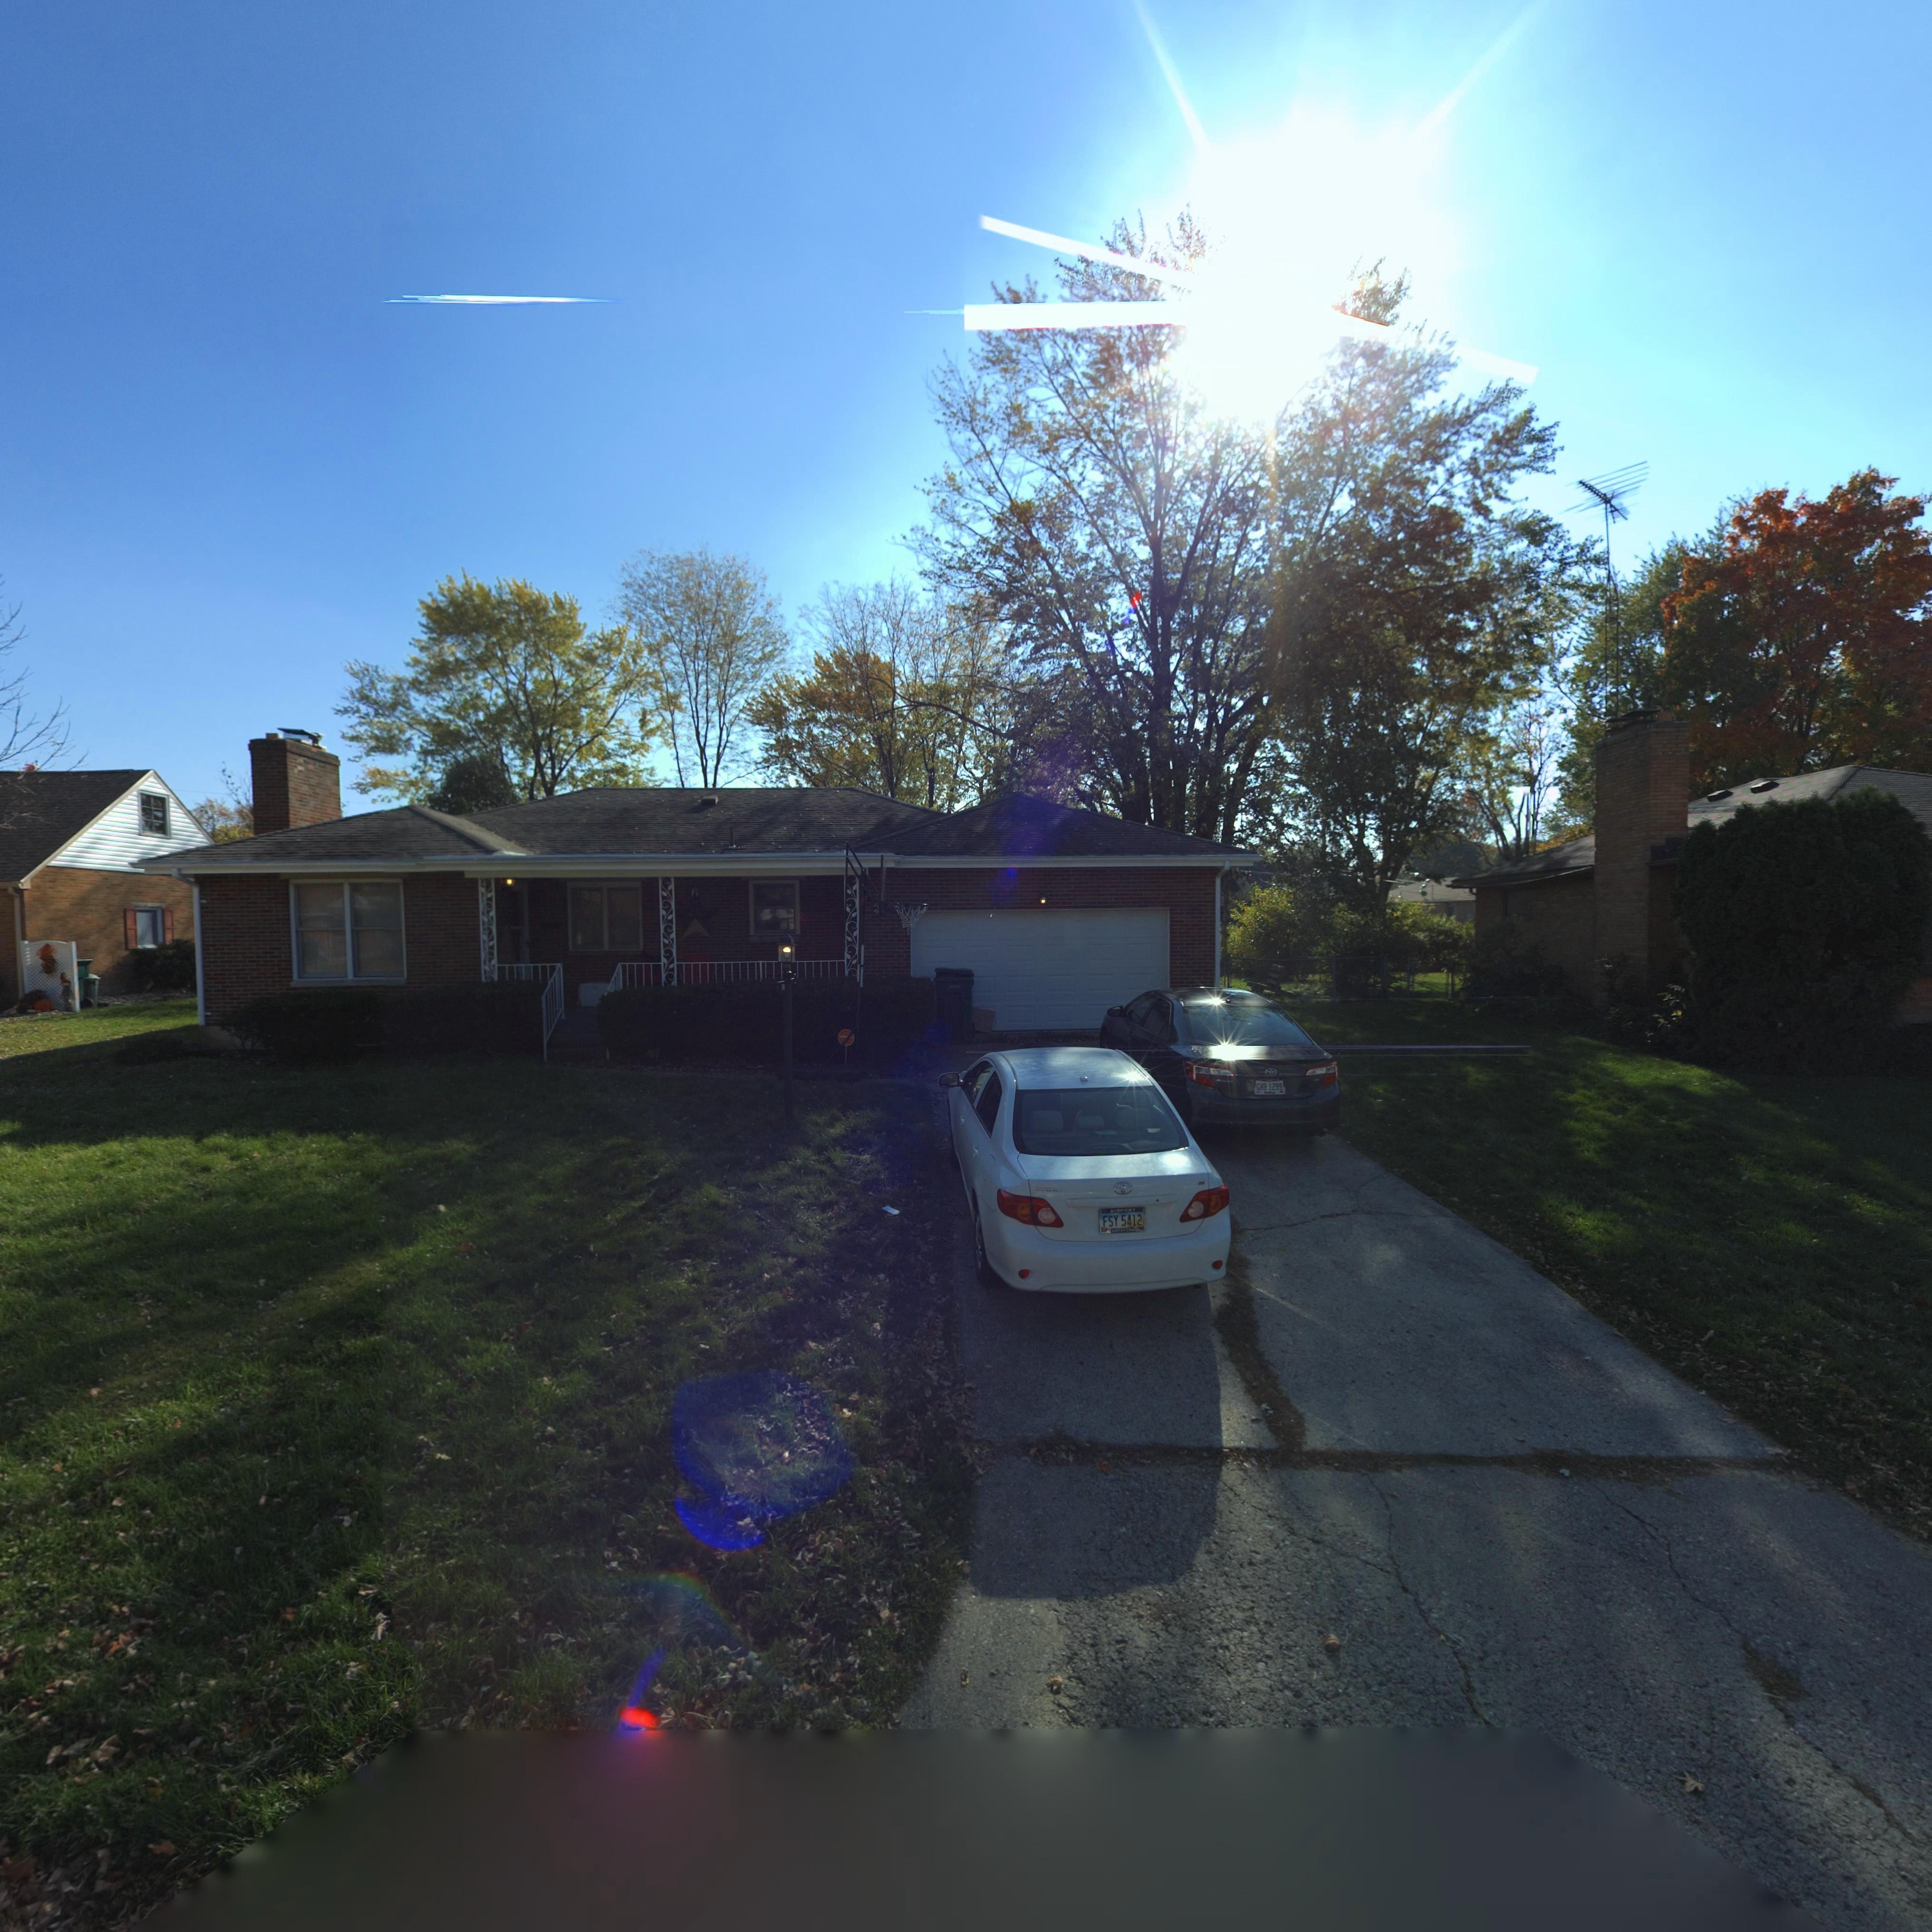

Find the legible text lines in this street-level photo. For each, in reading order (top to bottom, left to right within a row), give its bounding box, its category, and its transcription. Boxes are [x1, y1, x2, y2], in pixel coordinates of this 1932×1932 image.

[1256, 1082, 1283, 1091] None: GHB*1299
[1109, 1208, 1136, 1213] None: AIRPORT
[1102, 1214, 1142, 1227] None: FSY*5412